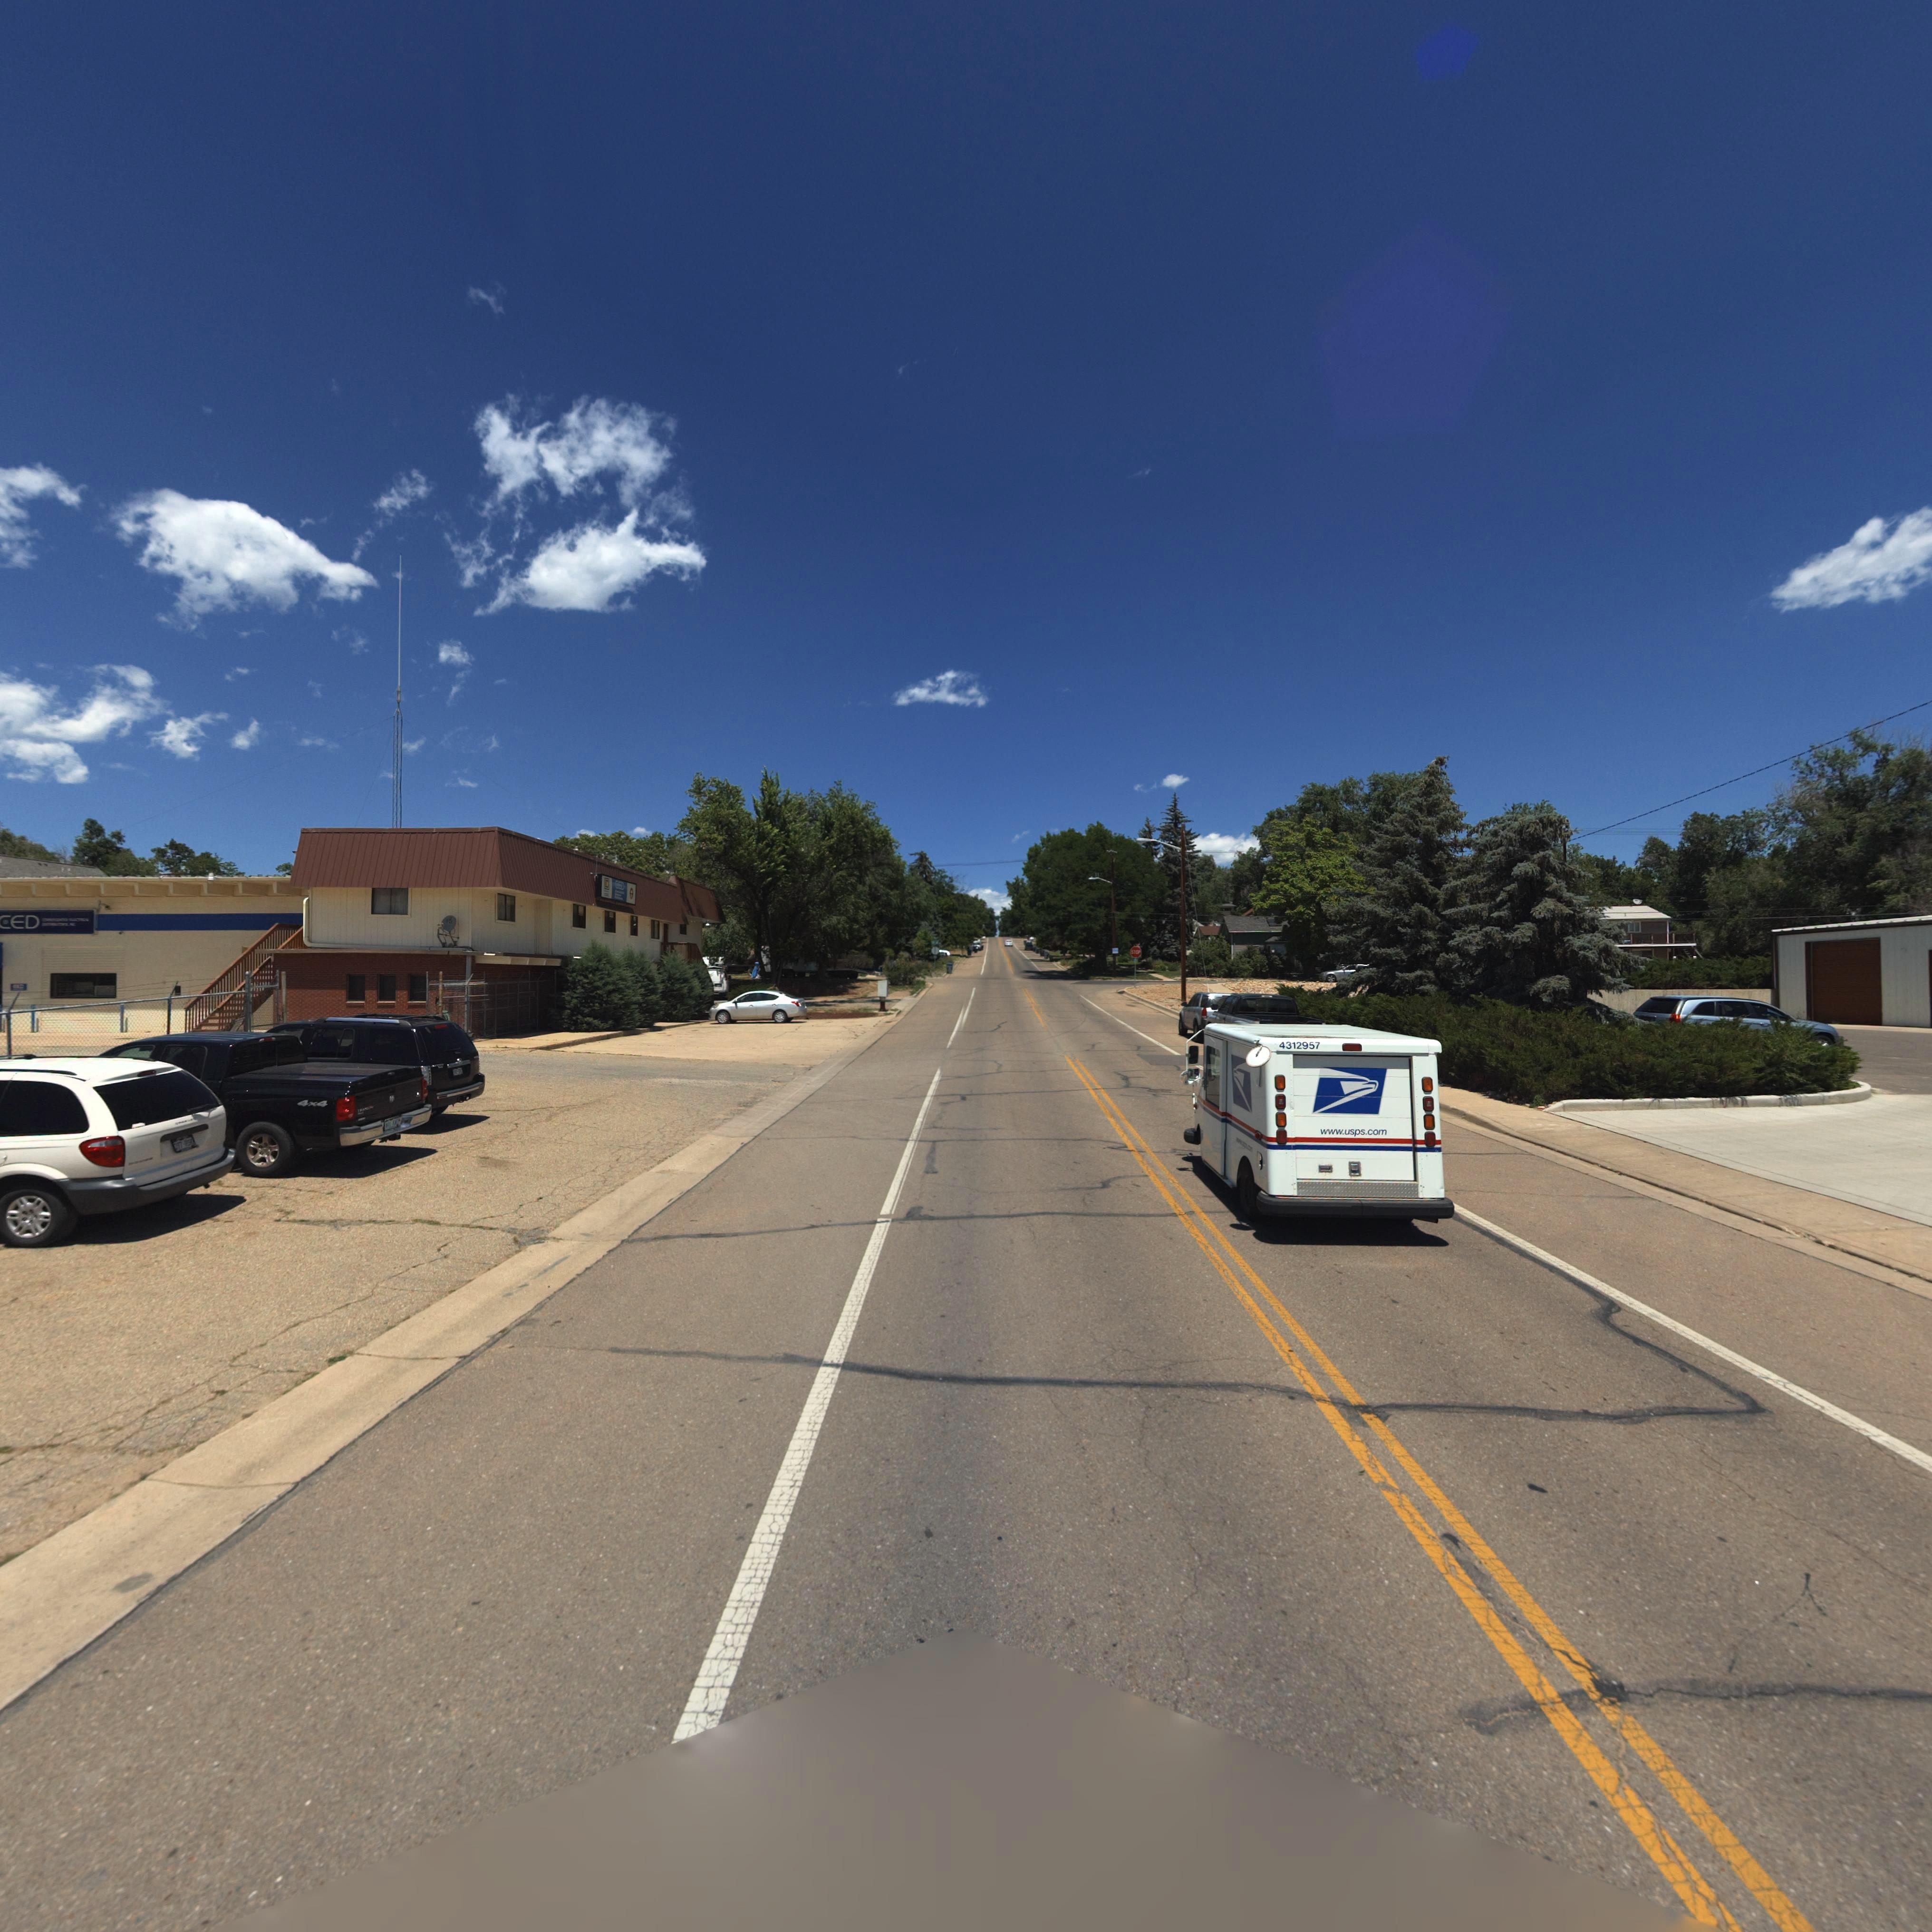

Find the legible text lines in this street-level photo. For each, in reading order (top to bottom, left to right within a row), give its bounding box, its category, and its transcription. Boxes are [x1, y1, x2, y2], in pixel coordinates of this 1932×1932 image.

[614, 879, 625, 890] BusinessName: CED
[614, 889, 624, 894] BusinessName: C***********
[615, 892, 622, 897] BusinessName: E*********
[614, 895, 623, 900] BusinessName: D***********
[10, 914, 40, 929] BusinessName: ED
[12, 984, 24, 989] BusinessName: **D